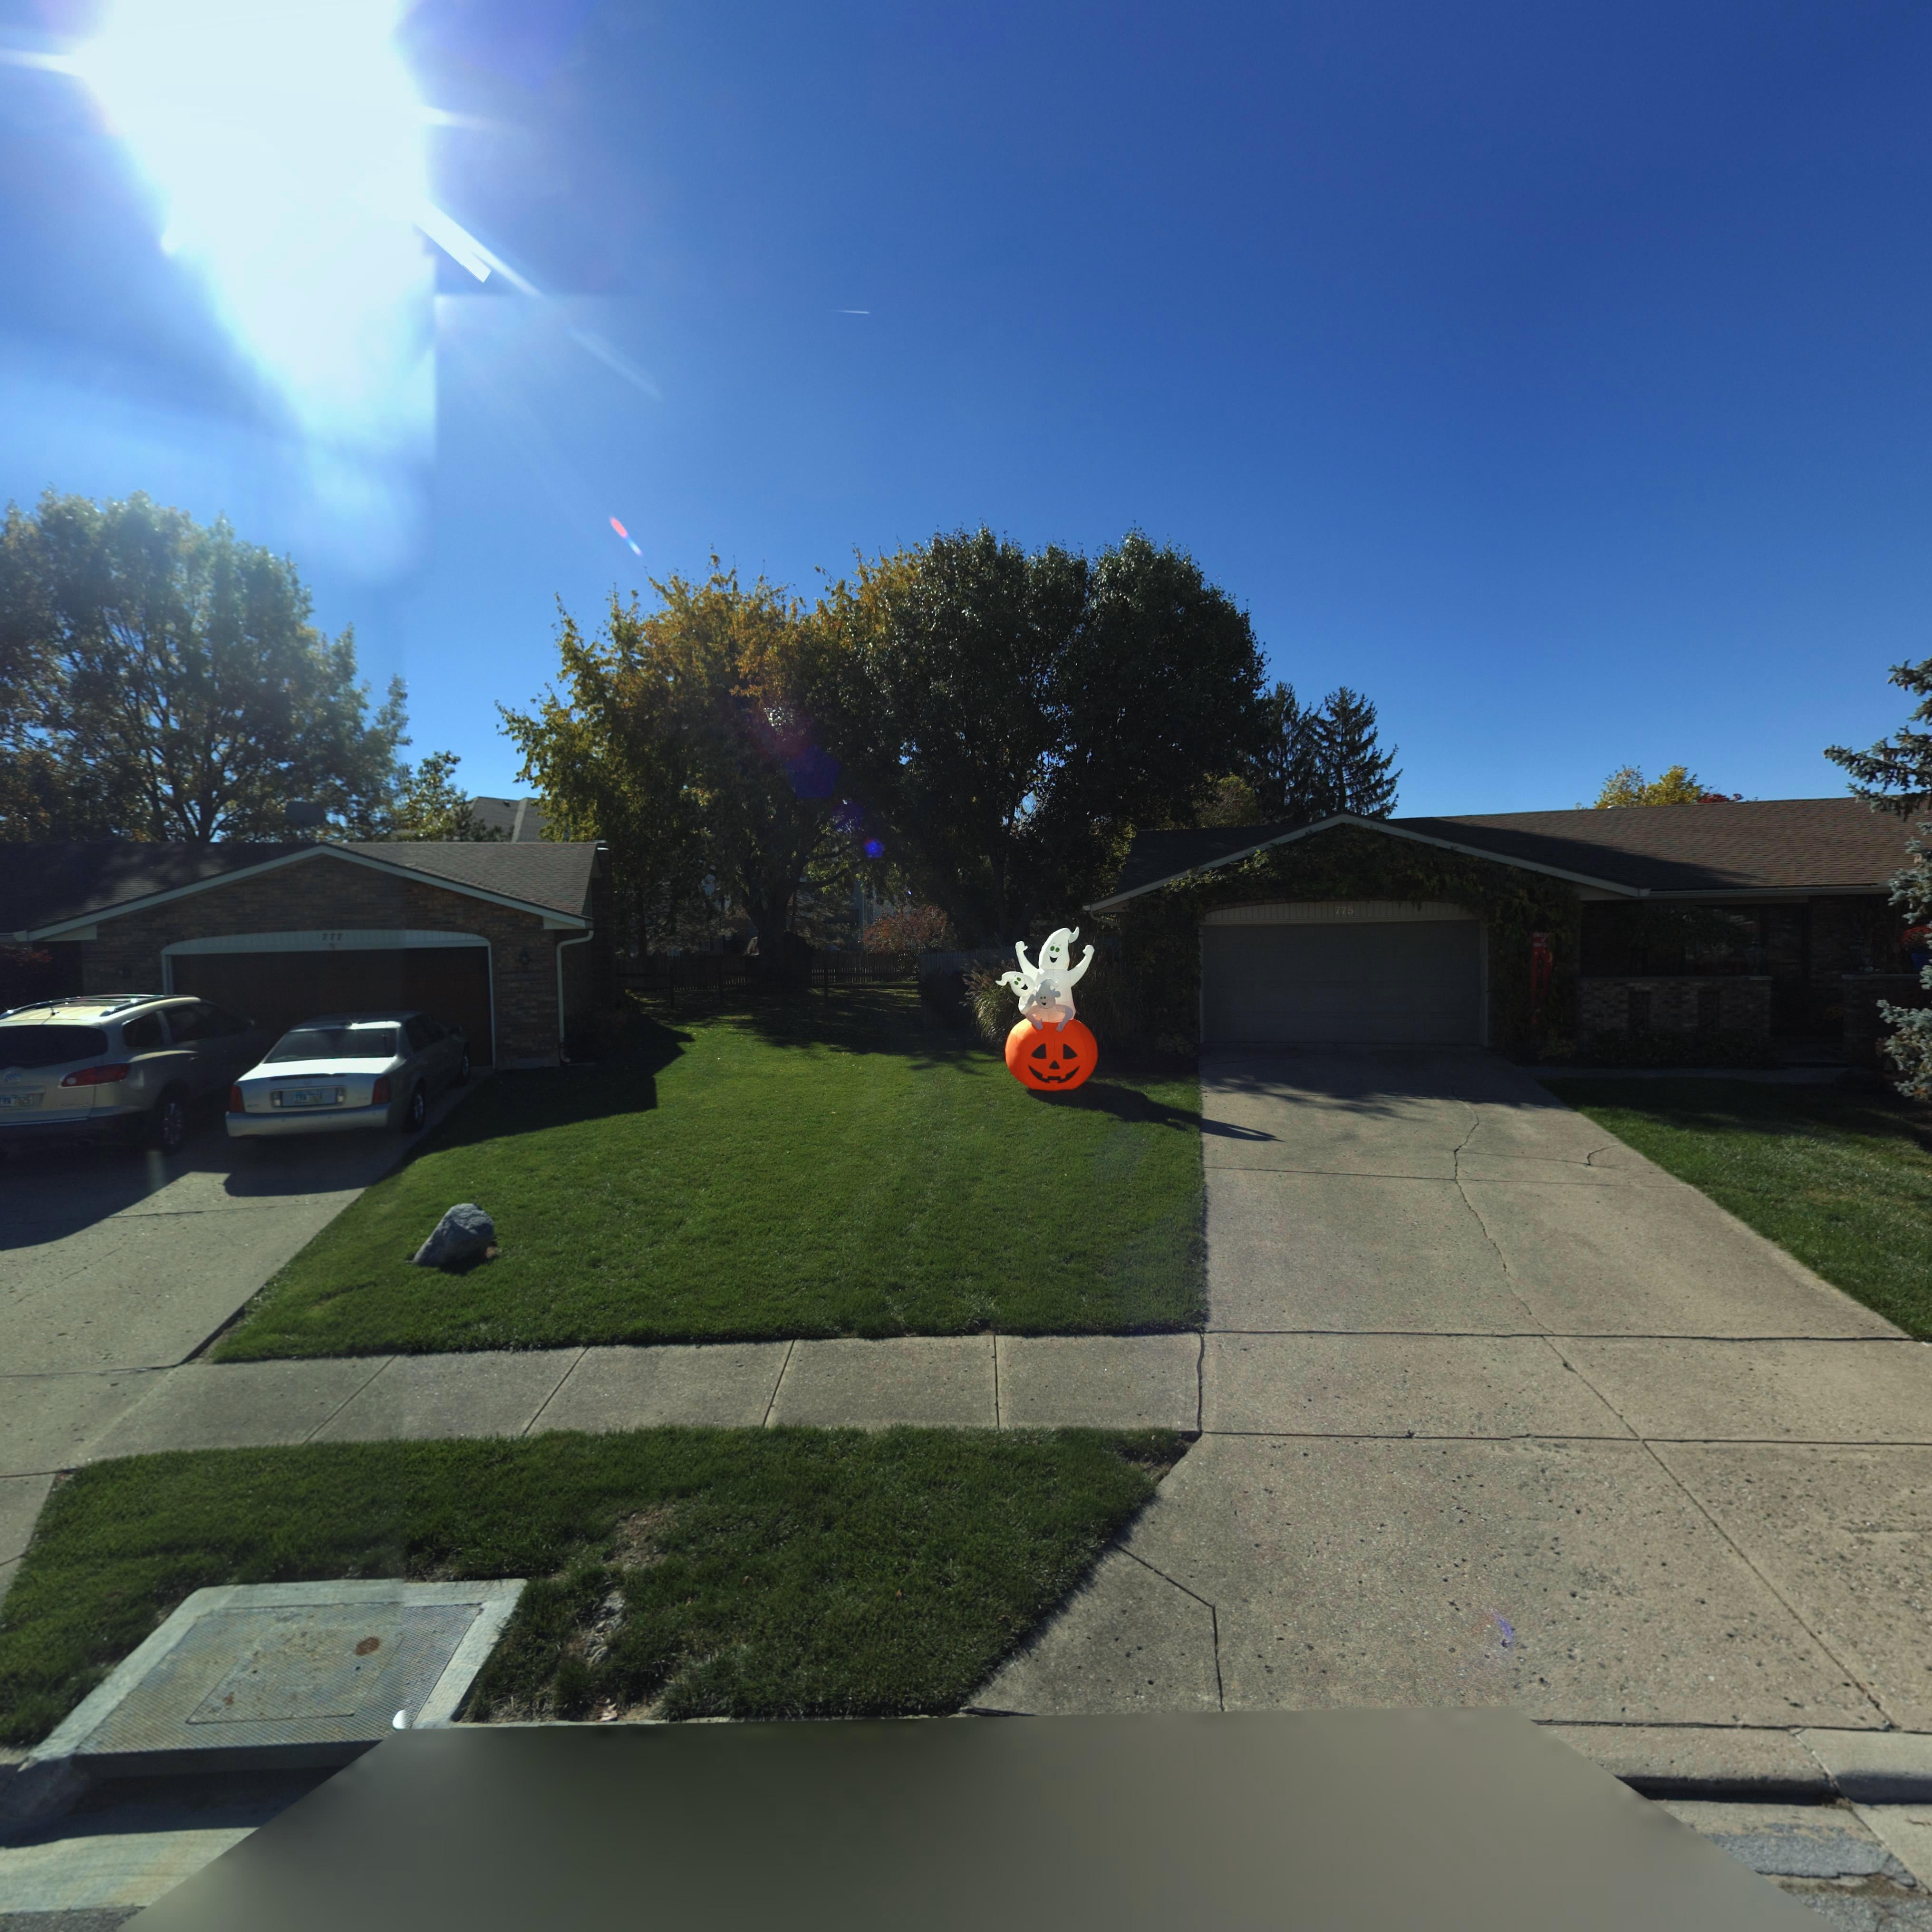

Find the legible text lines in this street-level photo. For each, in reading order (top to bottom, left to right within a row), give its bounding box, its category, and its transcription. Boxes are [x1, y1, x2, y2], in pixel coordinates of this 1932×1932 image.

[1334, 906, 1354, 915] StreetNumber: 775
[321, 932, 343, 941] StreetNumber: 777